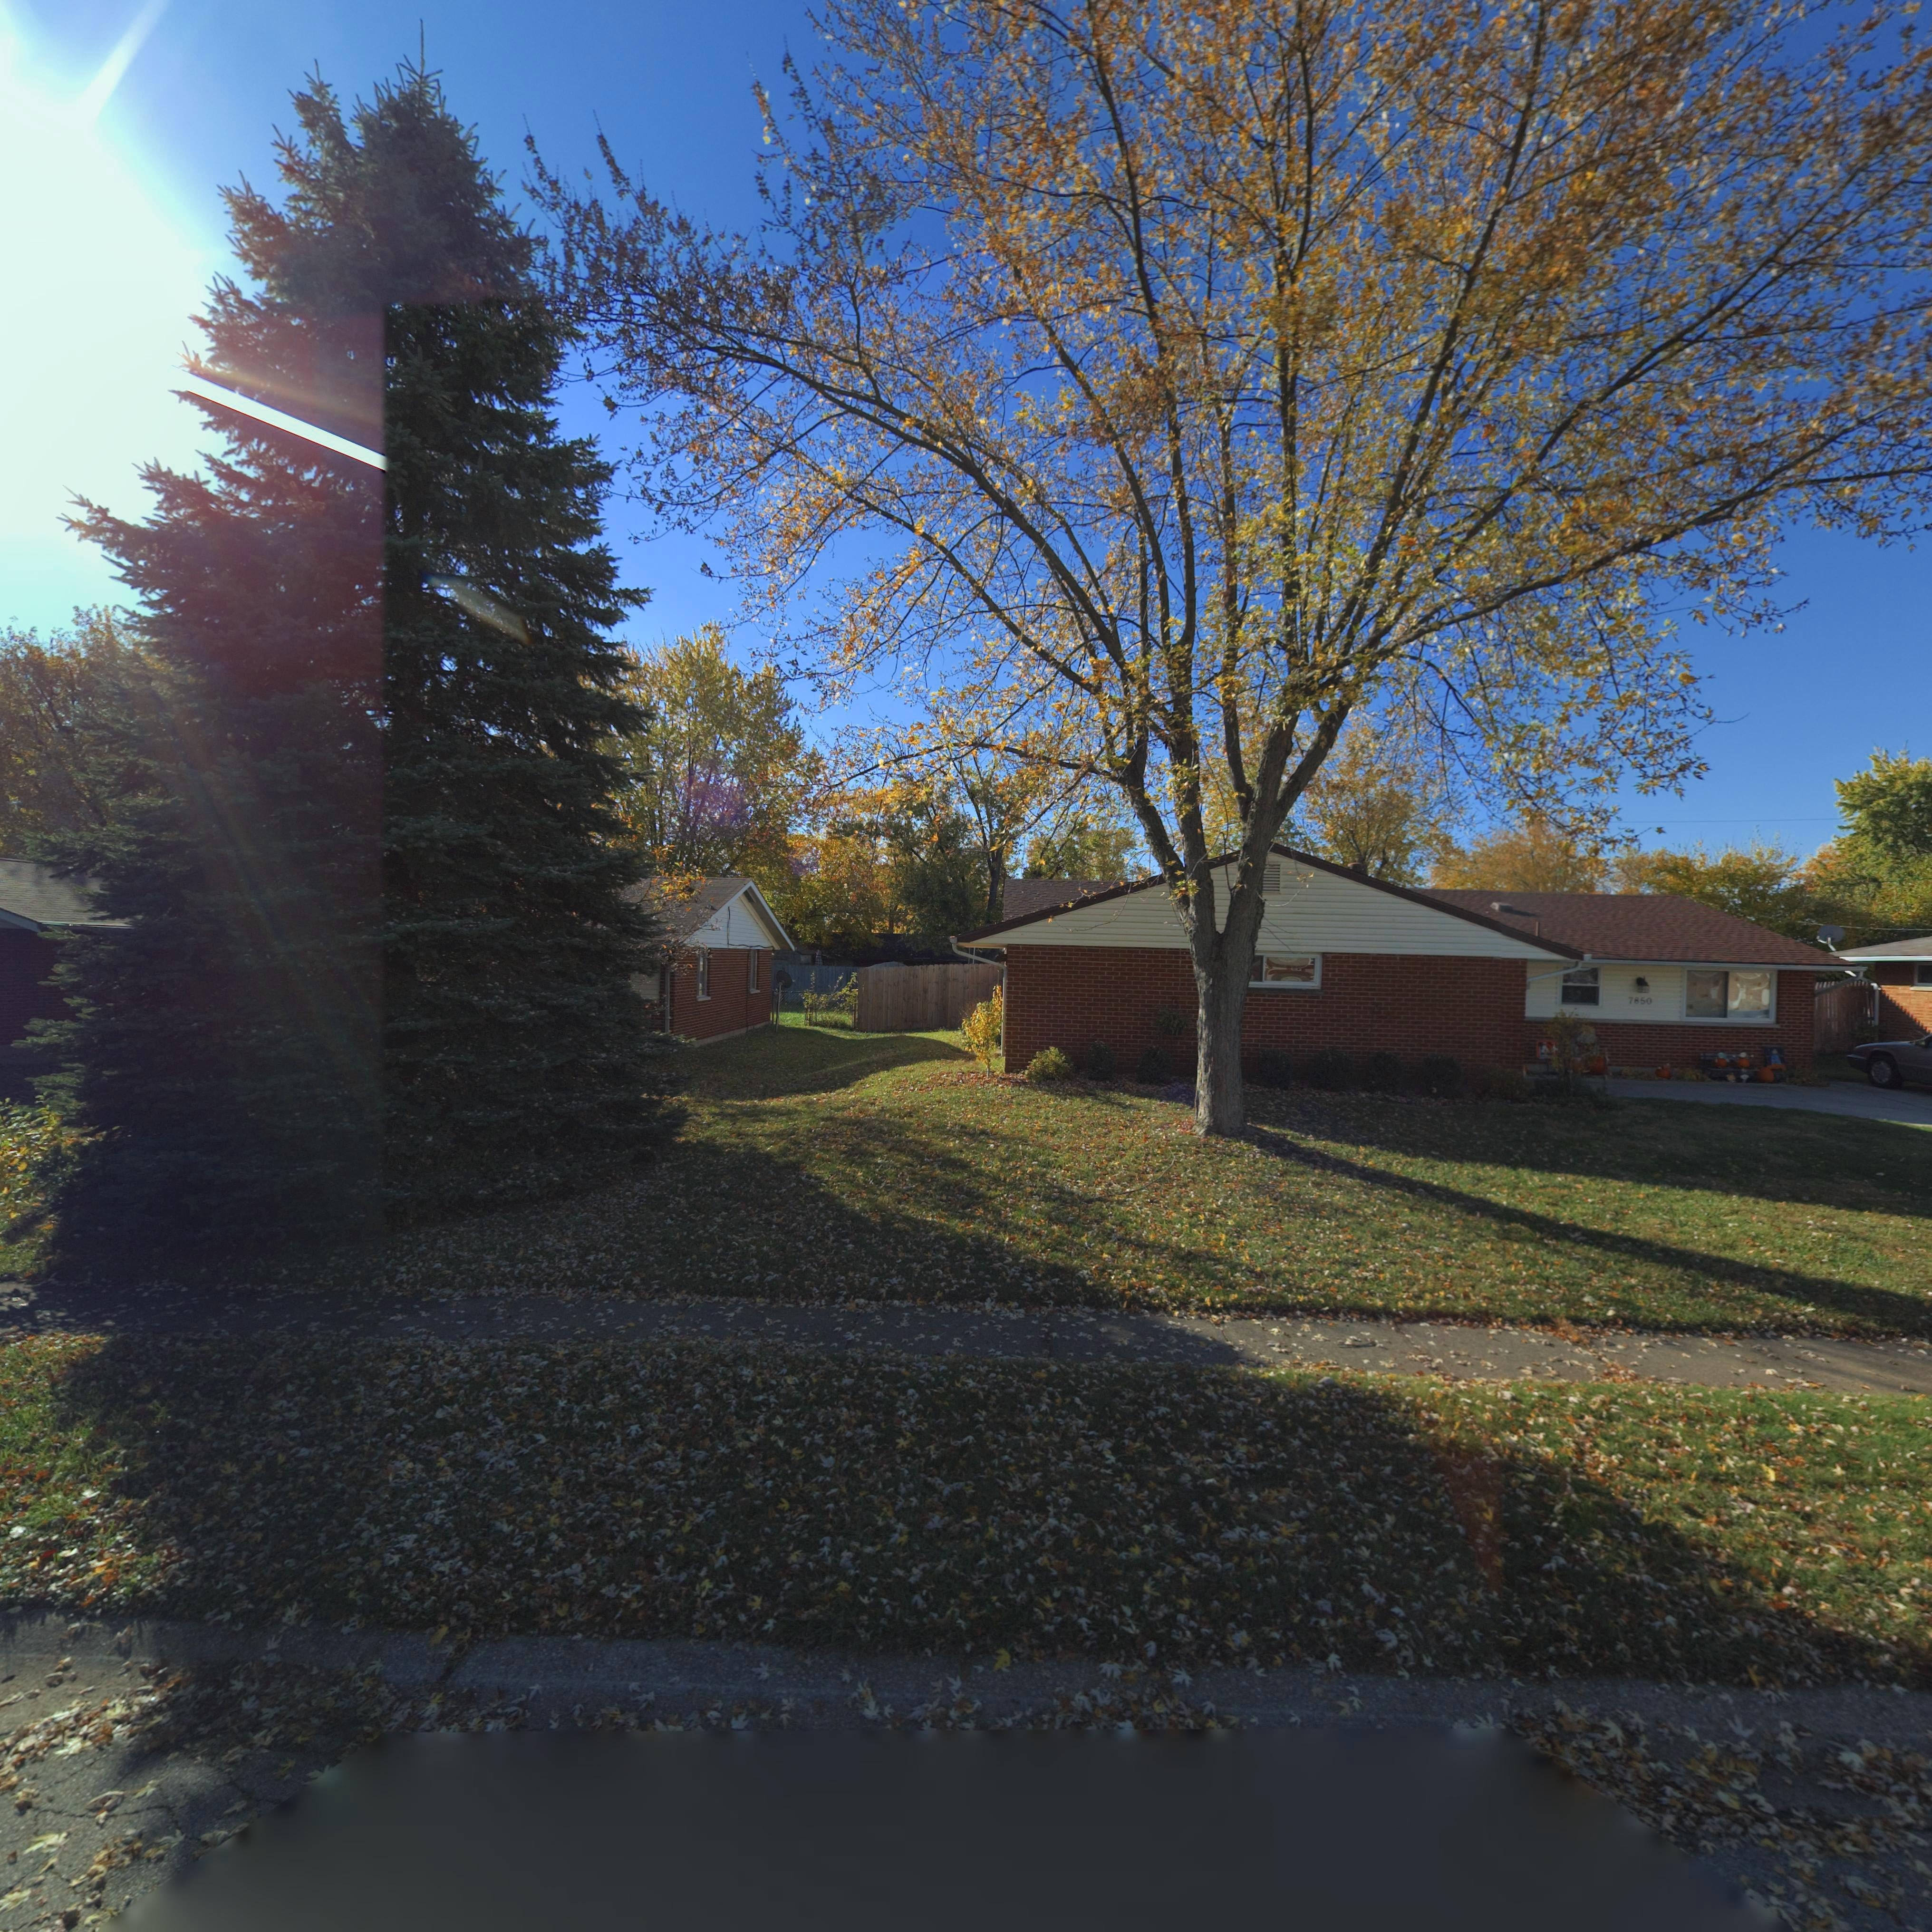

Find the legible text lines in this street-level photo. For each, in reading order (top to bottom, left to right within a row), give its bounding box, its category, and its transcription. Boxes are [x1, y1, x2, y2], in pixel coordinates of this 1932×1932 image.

[1627, 996, 1652, 1005] StreetNumber: 7850